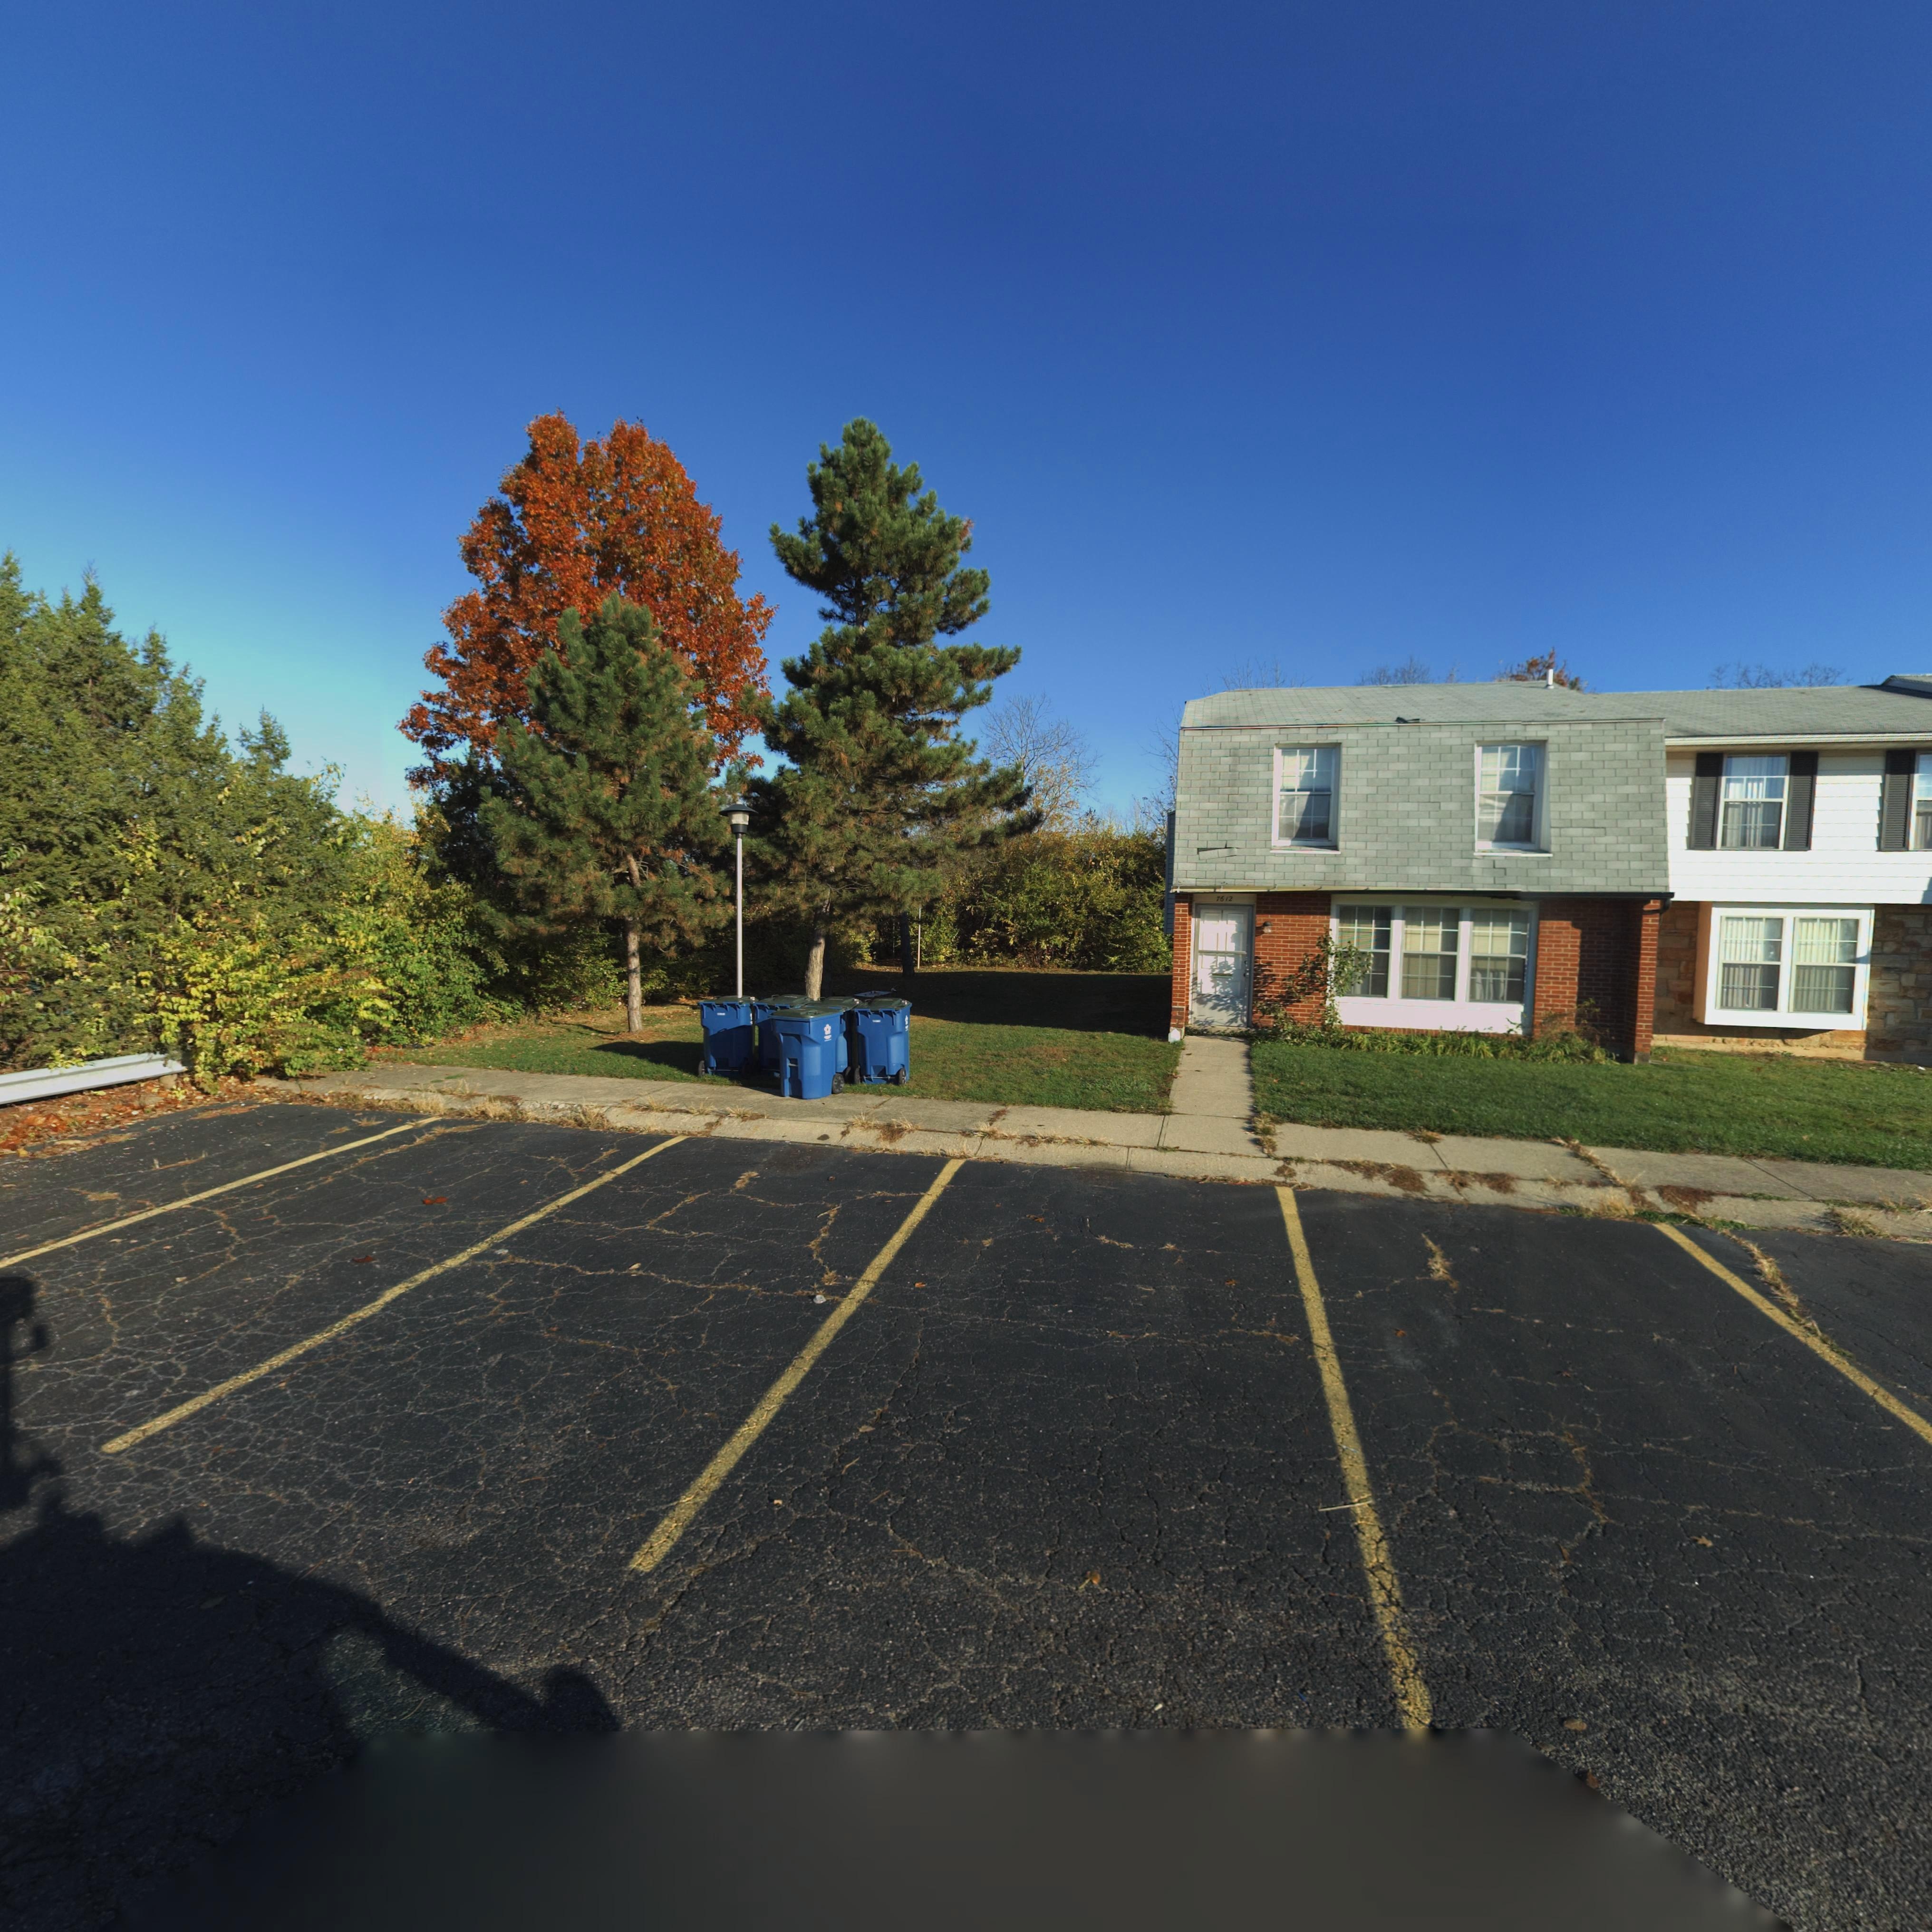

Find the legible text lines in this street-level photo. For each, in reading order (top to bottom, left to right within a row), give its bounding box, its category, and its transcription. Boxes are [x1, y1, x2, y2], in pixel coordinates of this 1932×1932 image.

[1215, 895, 1234, 903] StreetNumber: 7612